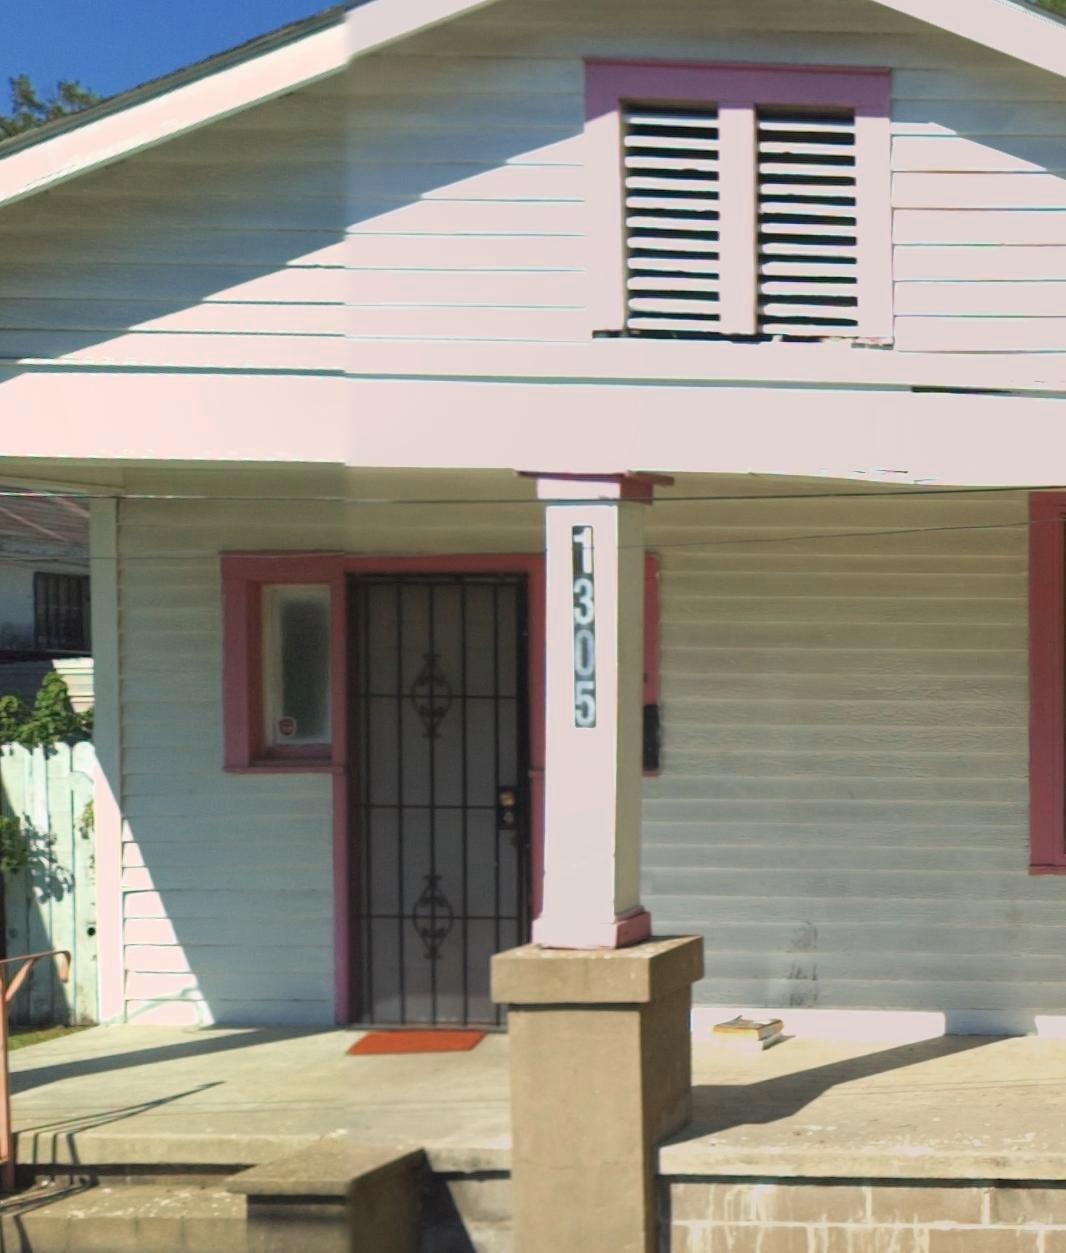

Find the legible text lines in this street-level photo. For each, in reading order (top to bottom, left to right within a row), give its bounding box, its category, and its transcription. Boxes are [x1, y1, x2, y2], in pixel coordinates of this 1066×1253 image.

[572, 523, 599, 729] StreetNumber: 1305